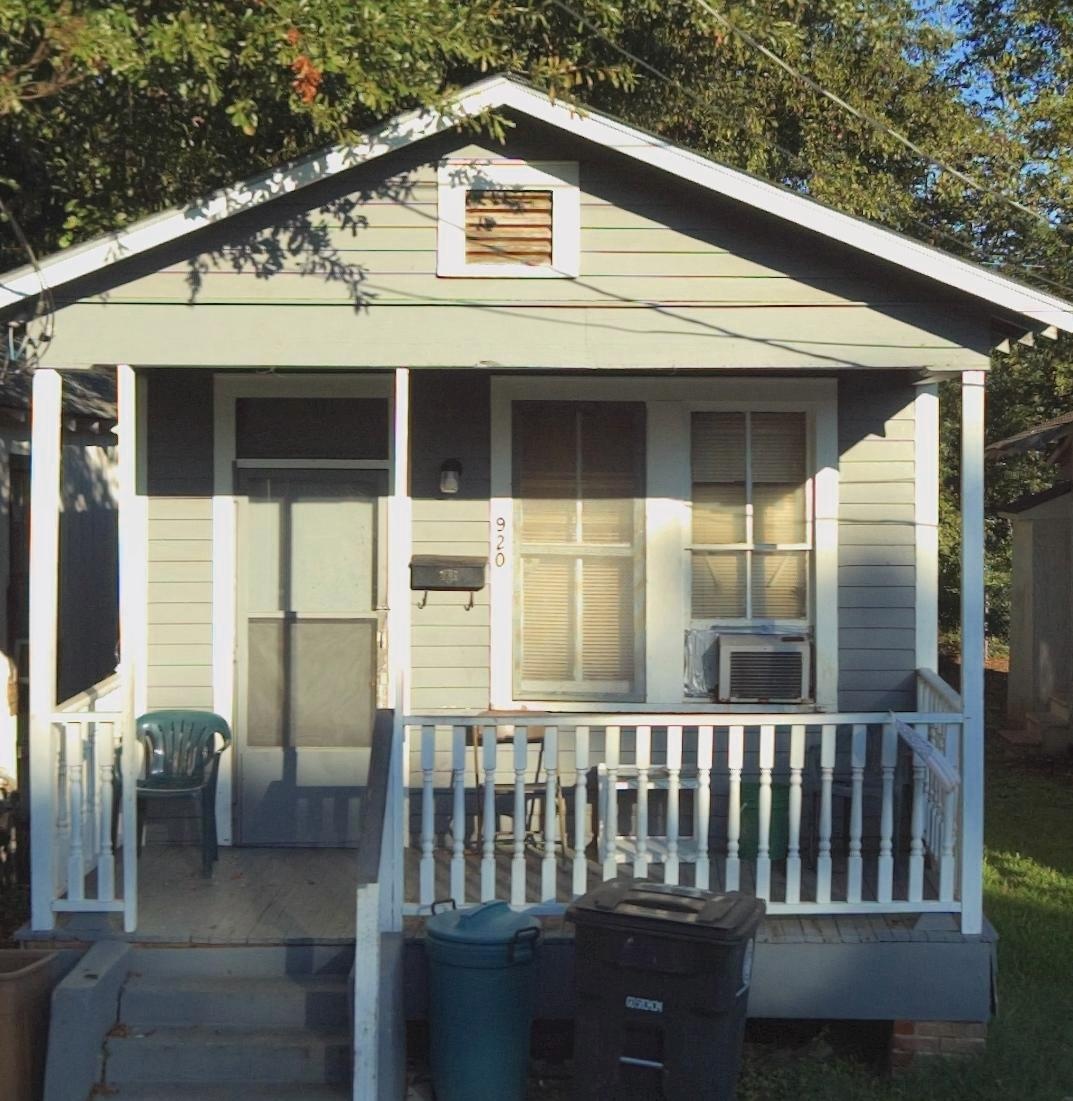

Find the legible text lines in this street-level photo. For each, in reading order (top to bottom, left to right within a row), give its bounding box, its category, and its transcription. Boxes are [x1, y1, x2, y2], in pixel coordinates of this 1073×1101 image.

[493, 514, 507, 569] StreetNumber: 920